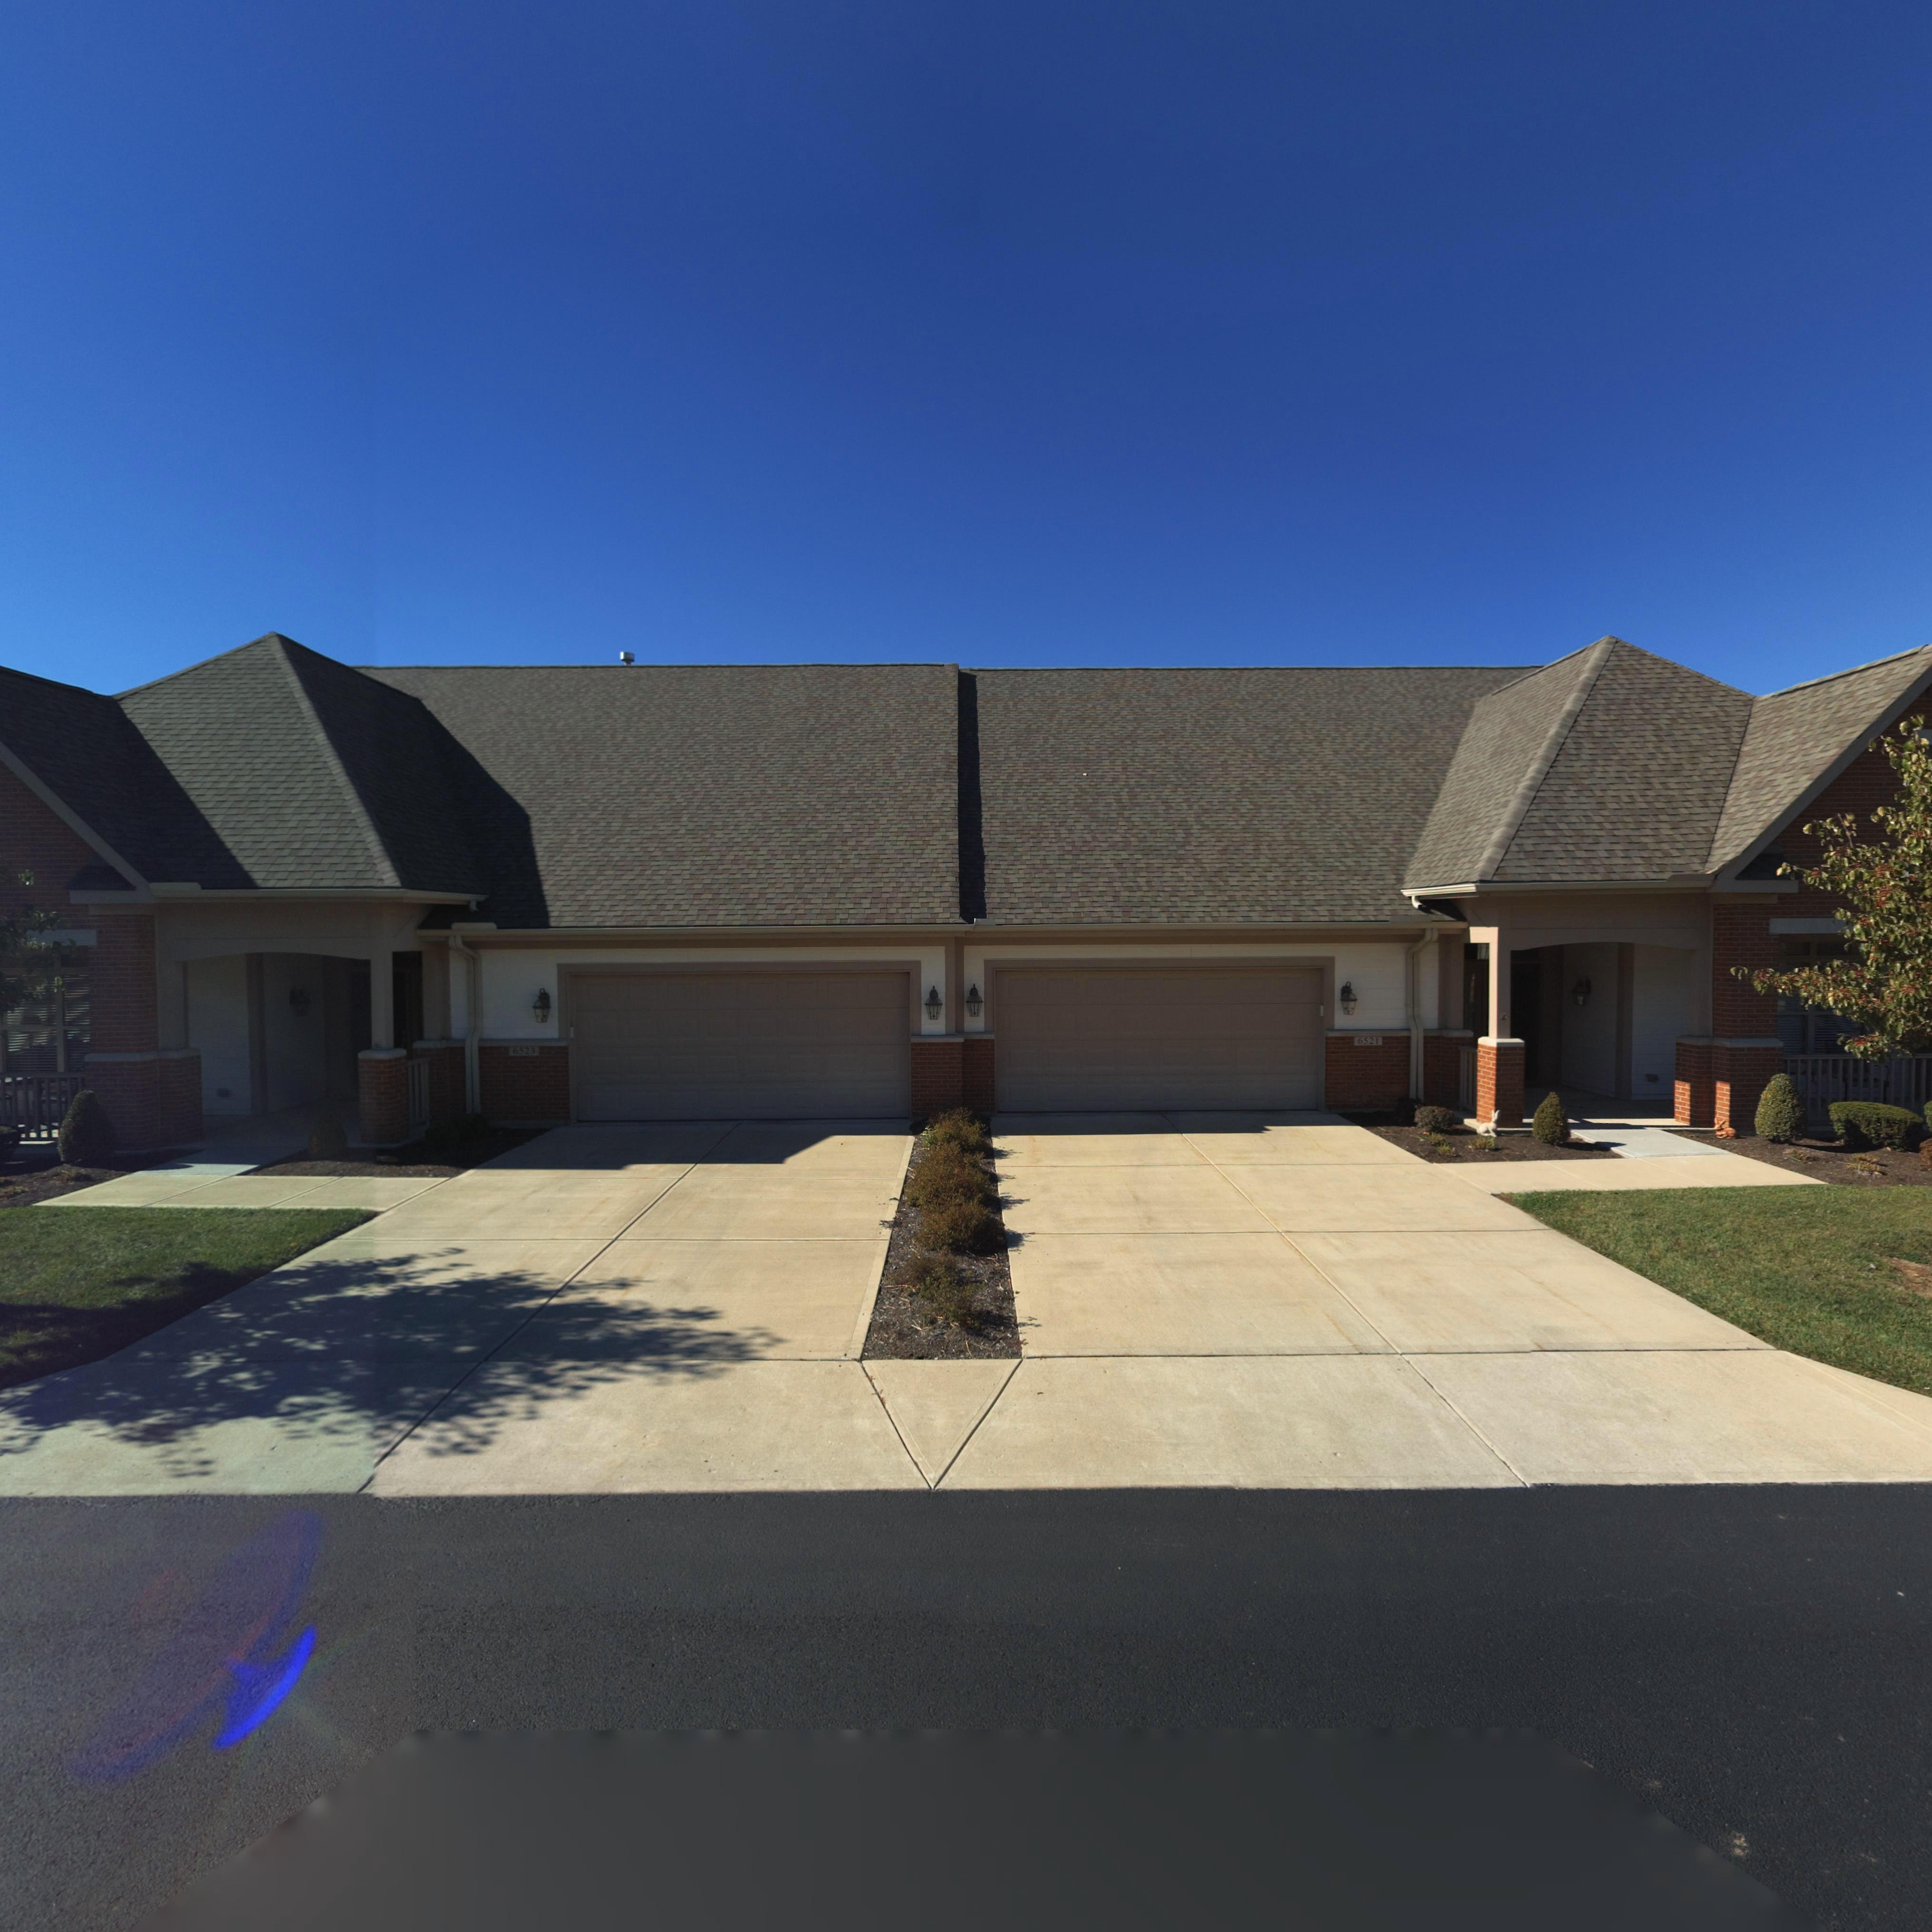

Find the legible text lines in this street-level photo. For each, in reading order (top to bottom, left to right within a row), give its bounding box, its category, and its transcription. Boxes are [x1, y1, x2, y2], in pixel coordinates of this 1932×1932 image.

[1357, 1037, 1379, 1045] StreetNumber: 6521
[512, 1046, 536, 1056] StreetNumber: 6523